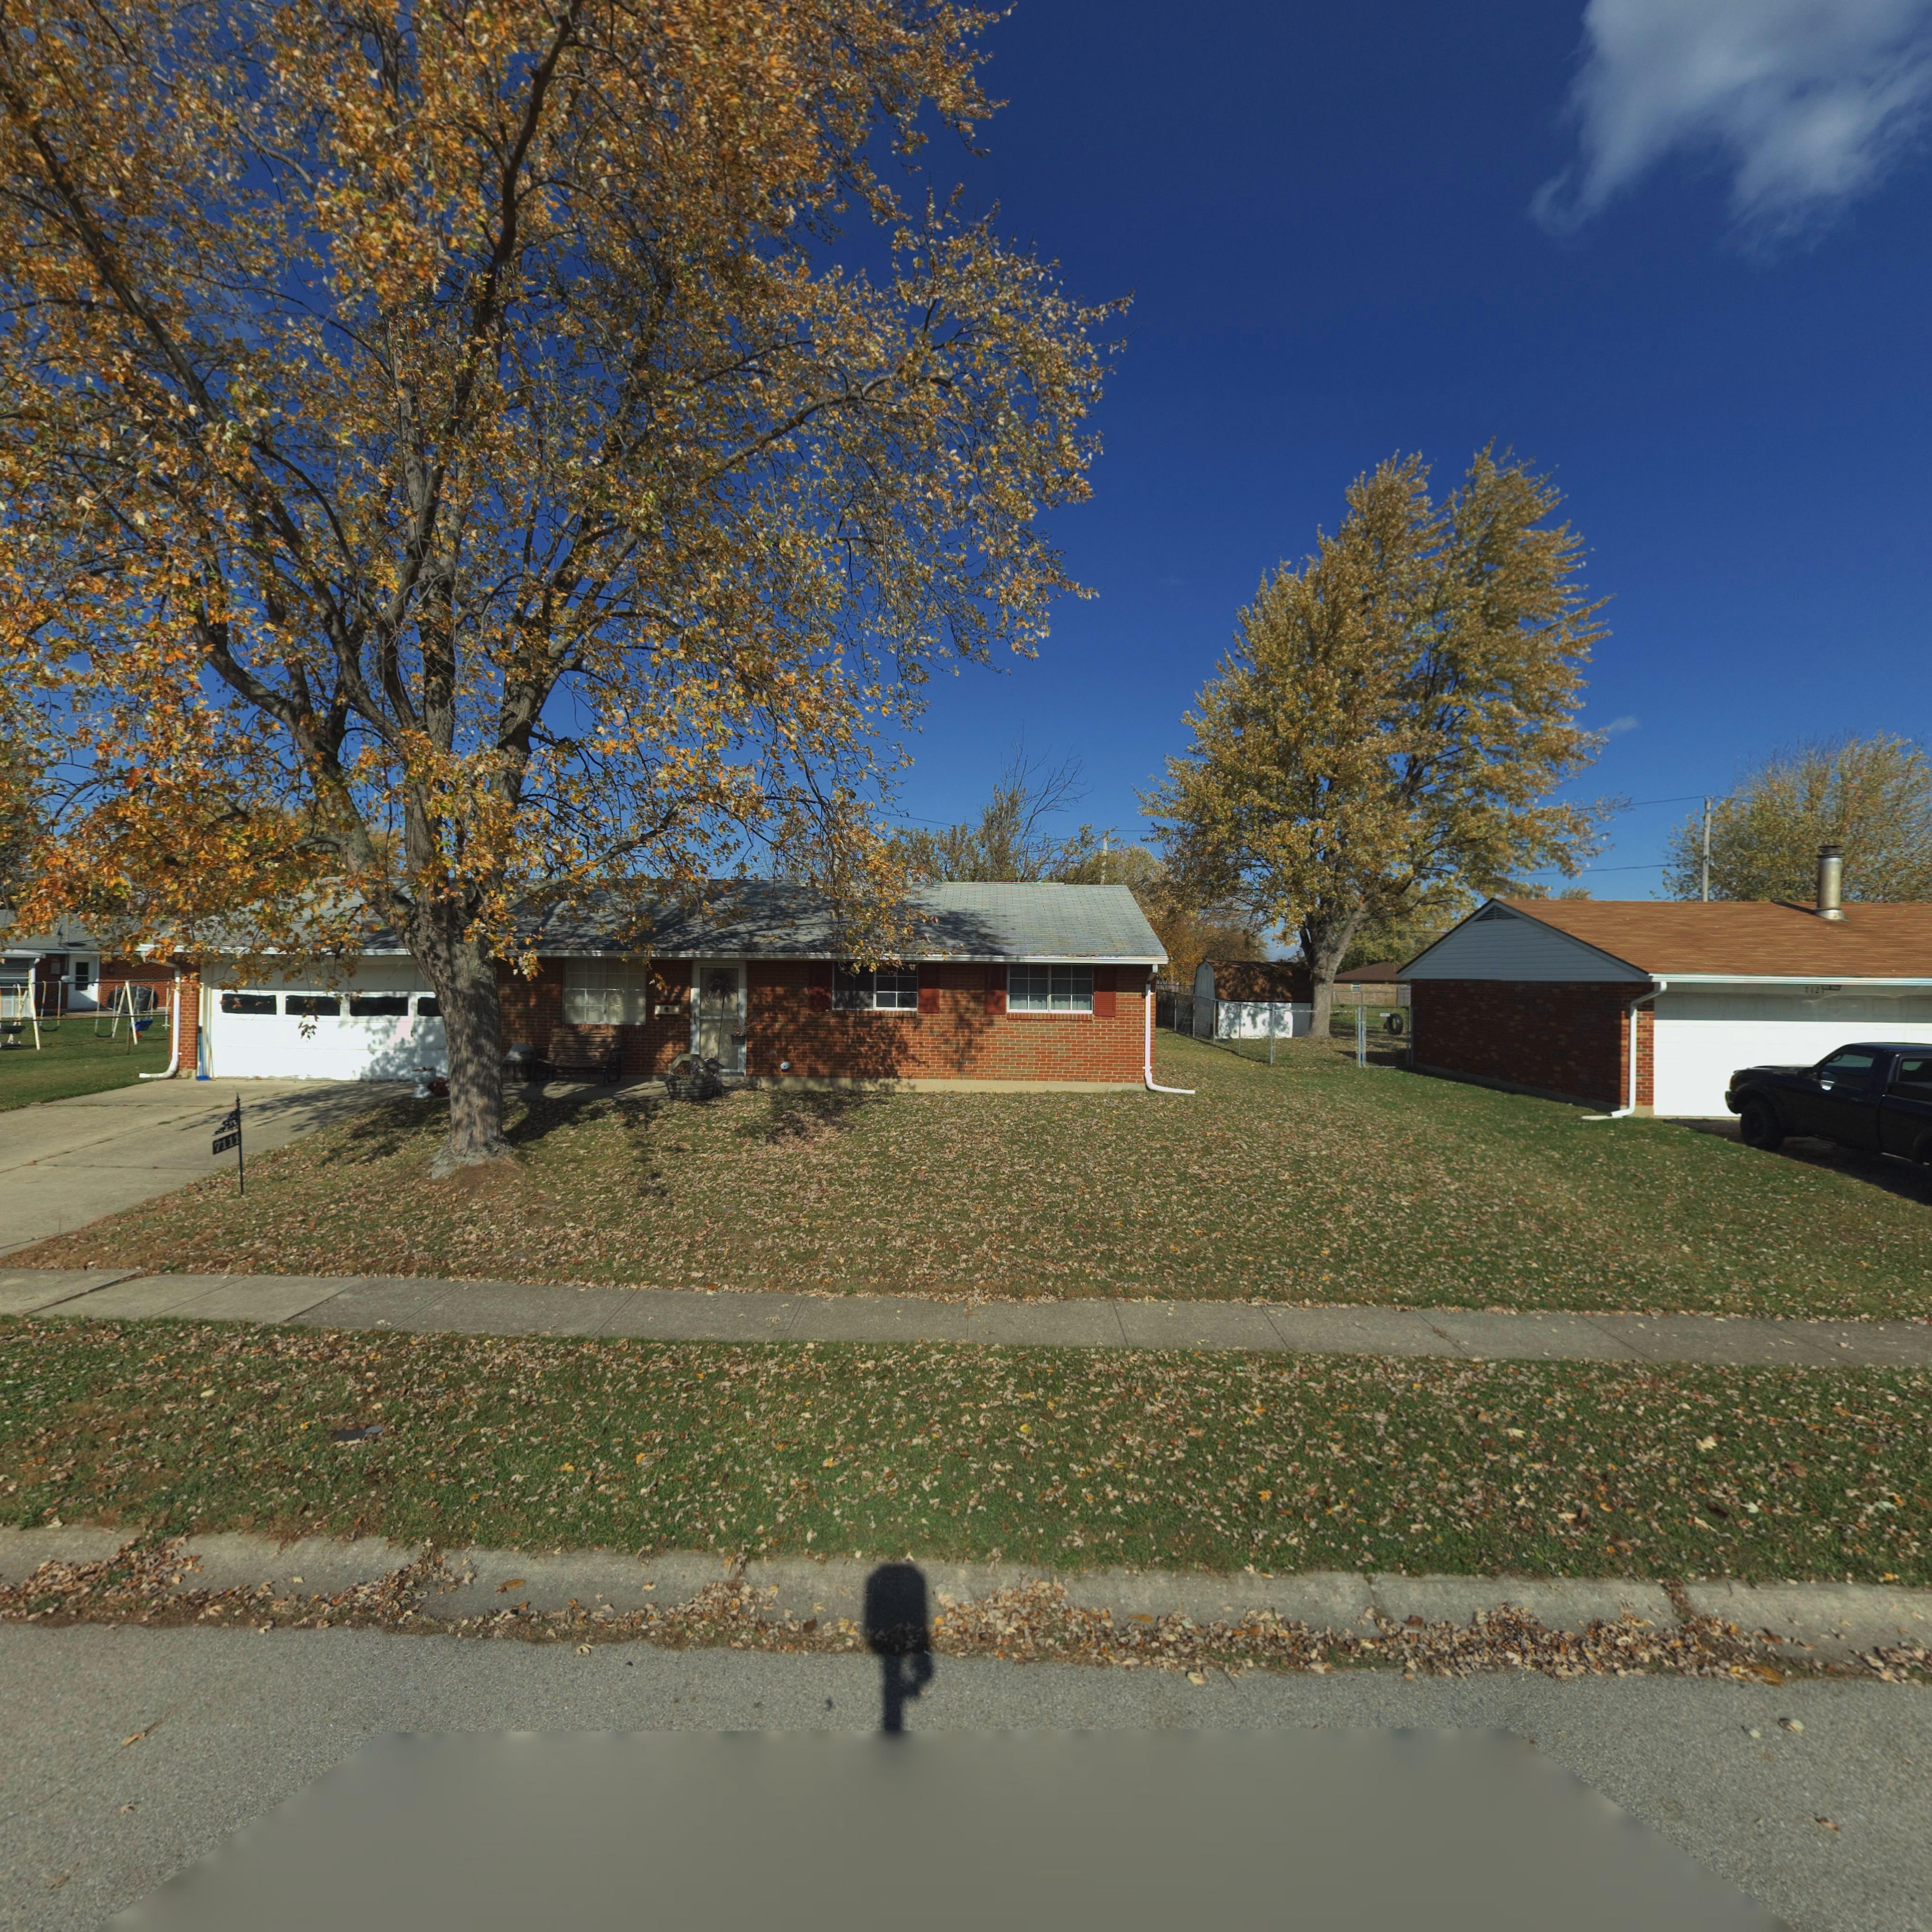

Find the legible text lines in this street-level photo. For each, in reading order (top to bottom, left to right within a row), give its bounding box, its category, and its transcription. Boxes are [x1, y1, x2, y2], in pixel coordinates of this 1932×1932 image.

[1802, 985, 1821, 995] StreetNumber: 712
[213, 1132, 241, 1154] StreetNumber: 7111